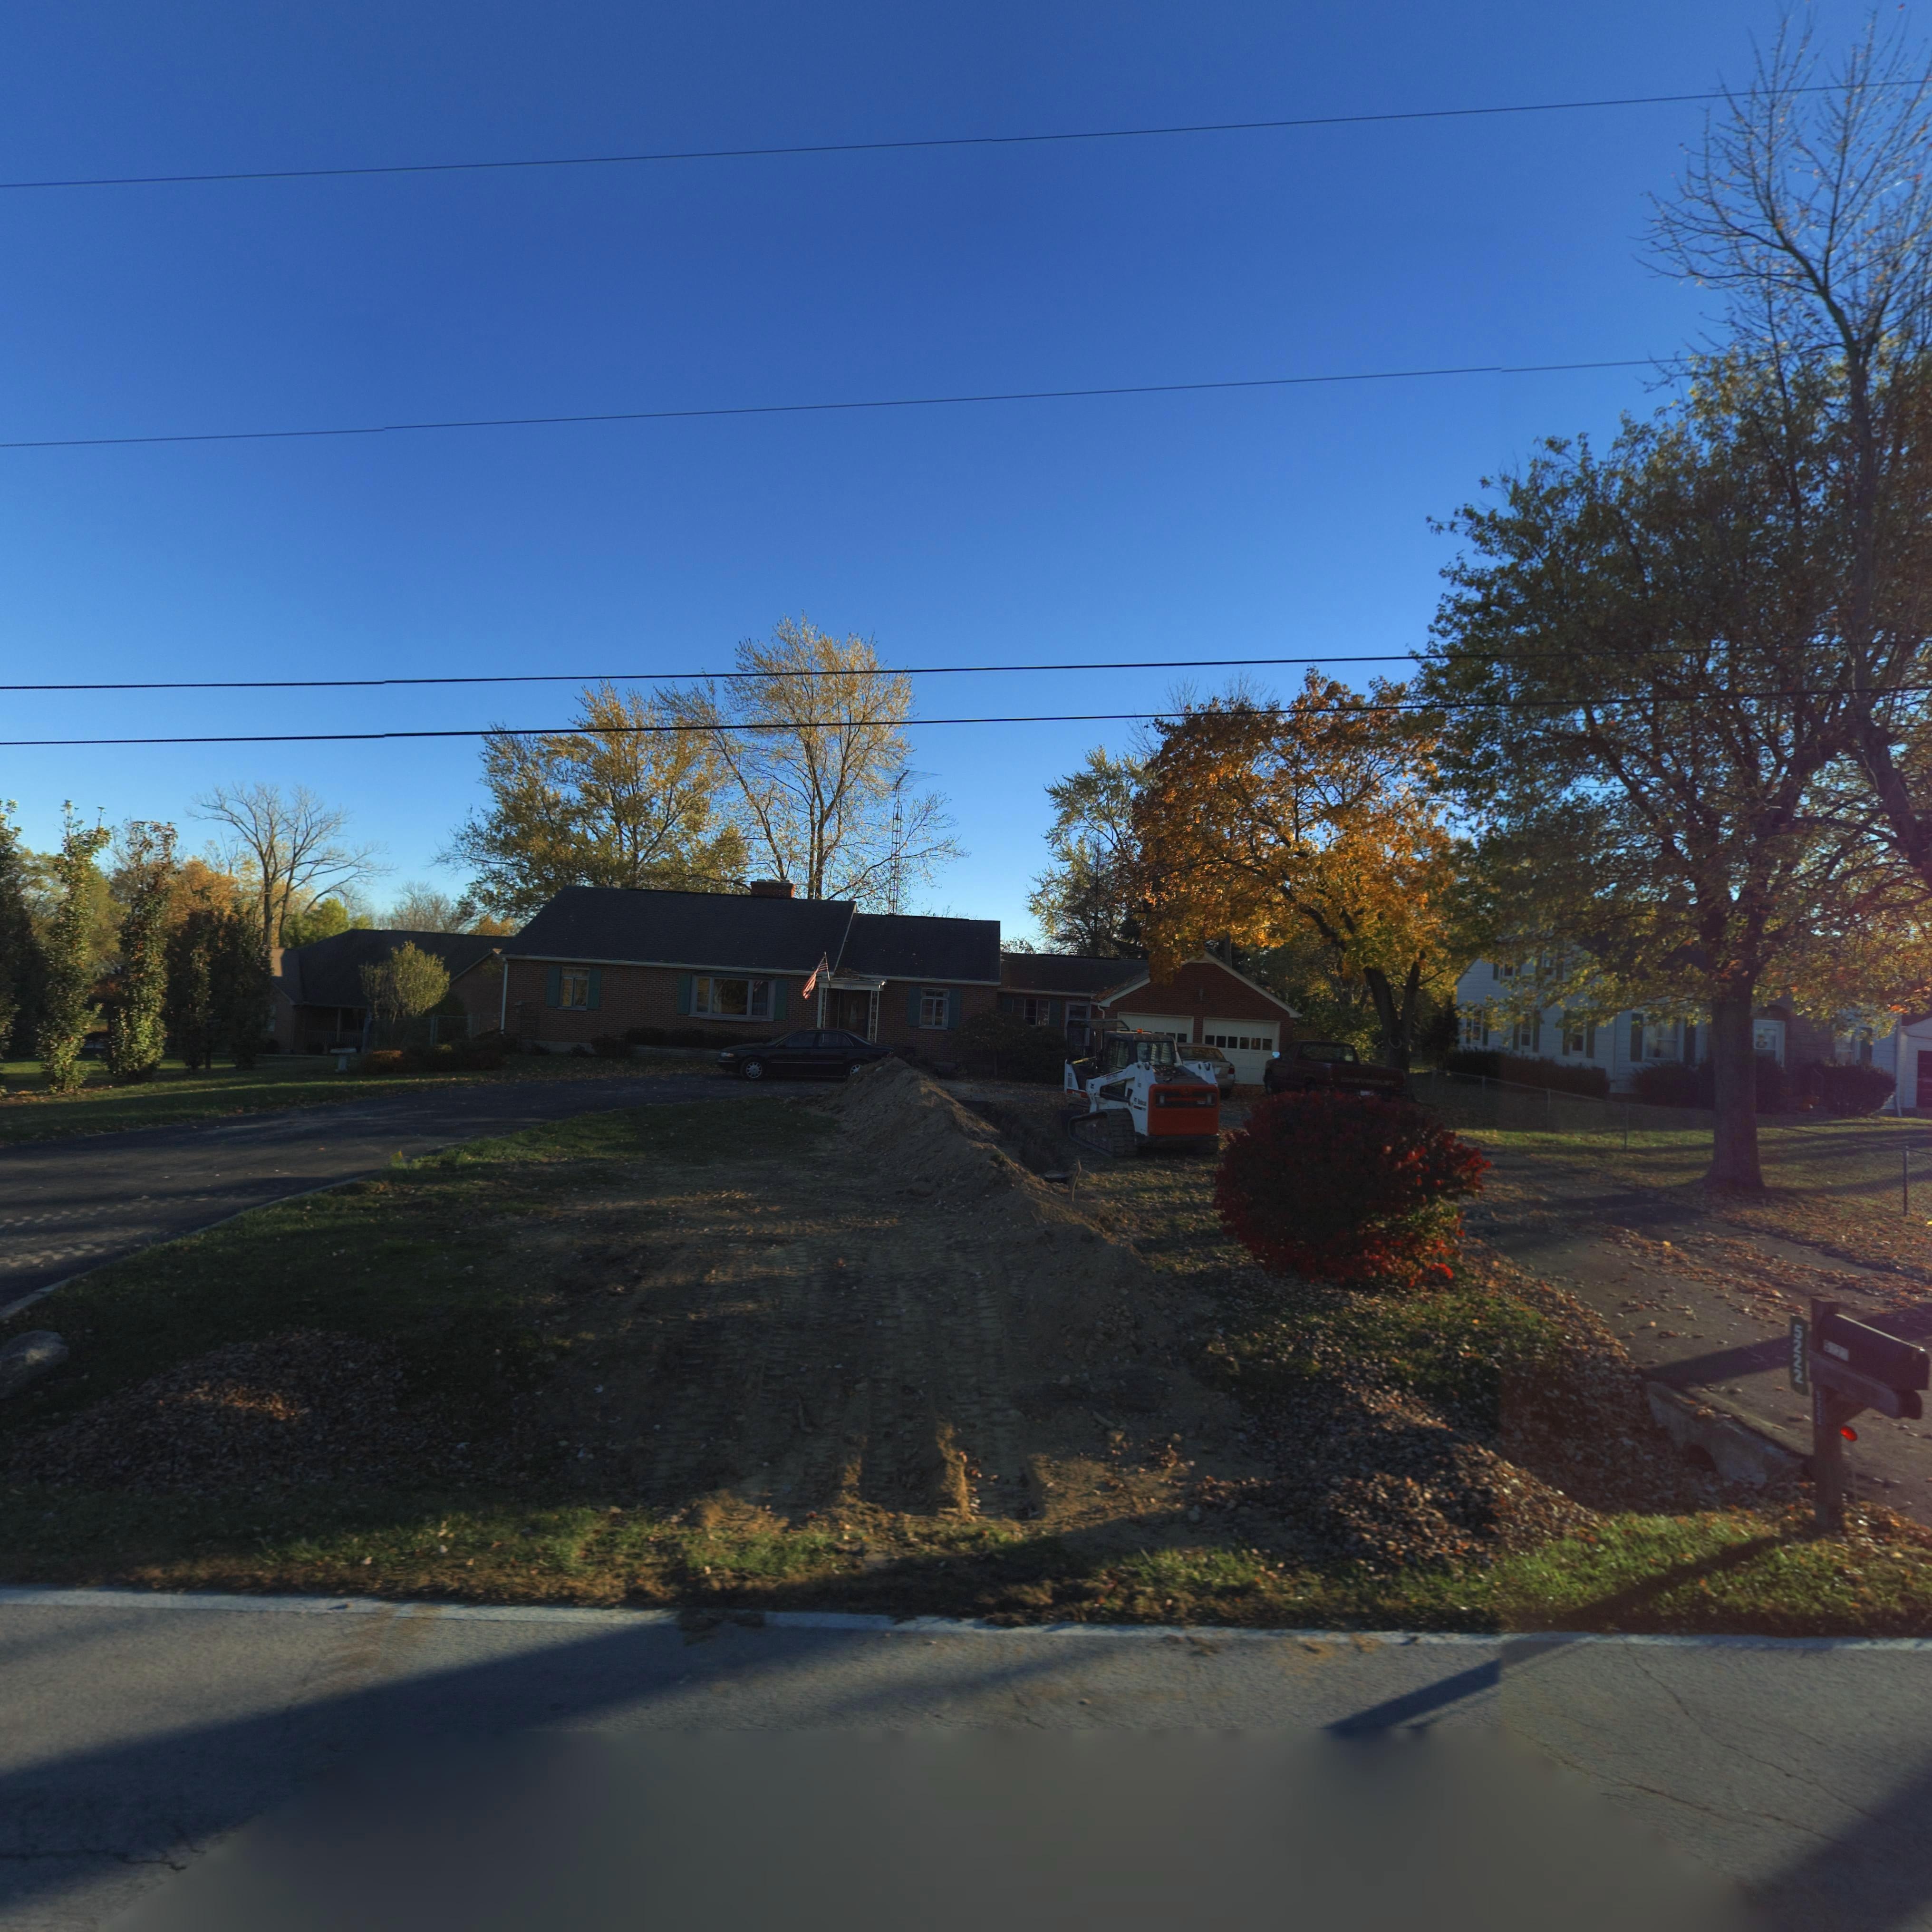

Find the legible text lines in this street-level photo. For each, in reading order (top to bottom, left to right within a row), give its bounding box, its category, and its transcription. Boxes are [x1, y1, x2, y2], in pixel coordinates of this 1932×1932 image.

[844, 984, 854, 989] StreetNumber: 52*2
[1792, 1322, 1805, 1386] StreetNumber: 5222
[1823, 1338, 1849, 1362] StreetNumber: 5***
[1814, 1389, 1822, 1427] StreetNumber: 5222